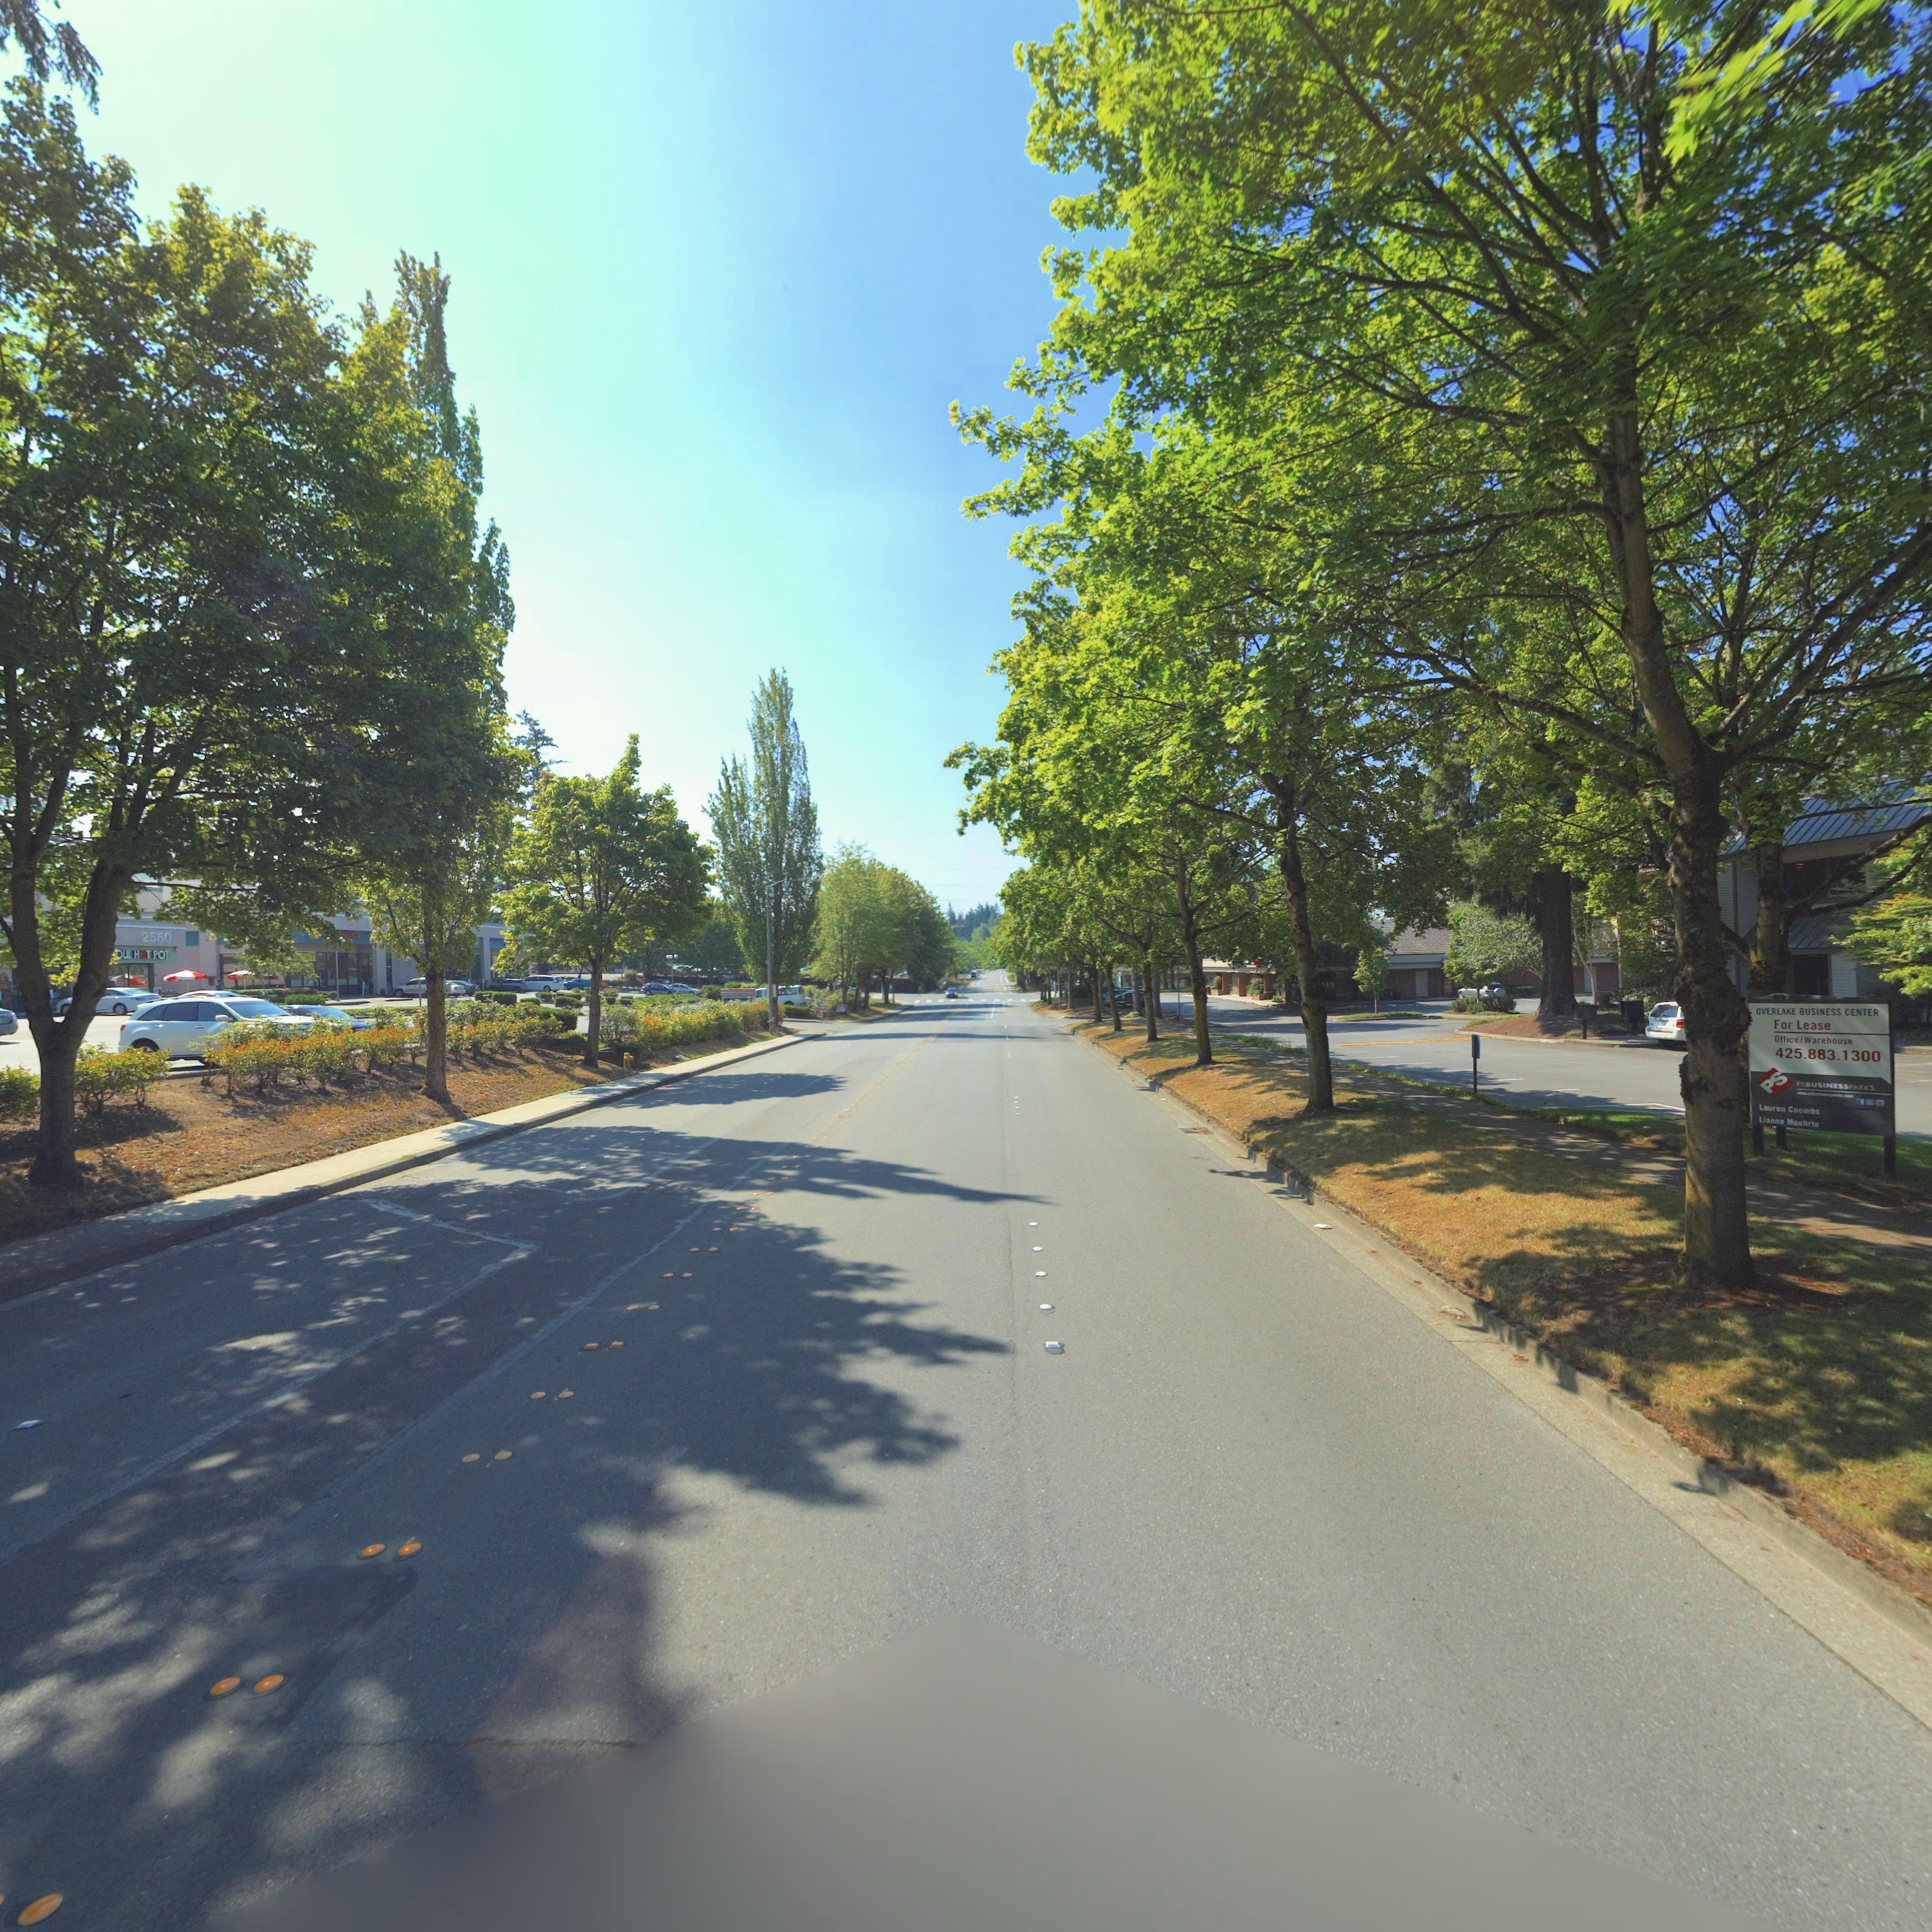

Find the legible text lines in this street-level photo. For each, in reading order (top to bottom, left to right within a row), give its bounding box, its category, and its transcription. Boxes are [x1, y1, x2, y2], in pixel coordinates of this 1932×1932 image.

[142, 931, 172, 943] StreetNumber: 2560
[122, 949, 169, 959] BusinessName: UL HOT POT